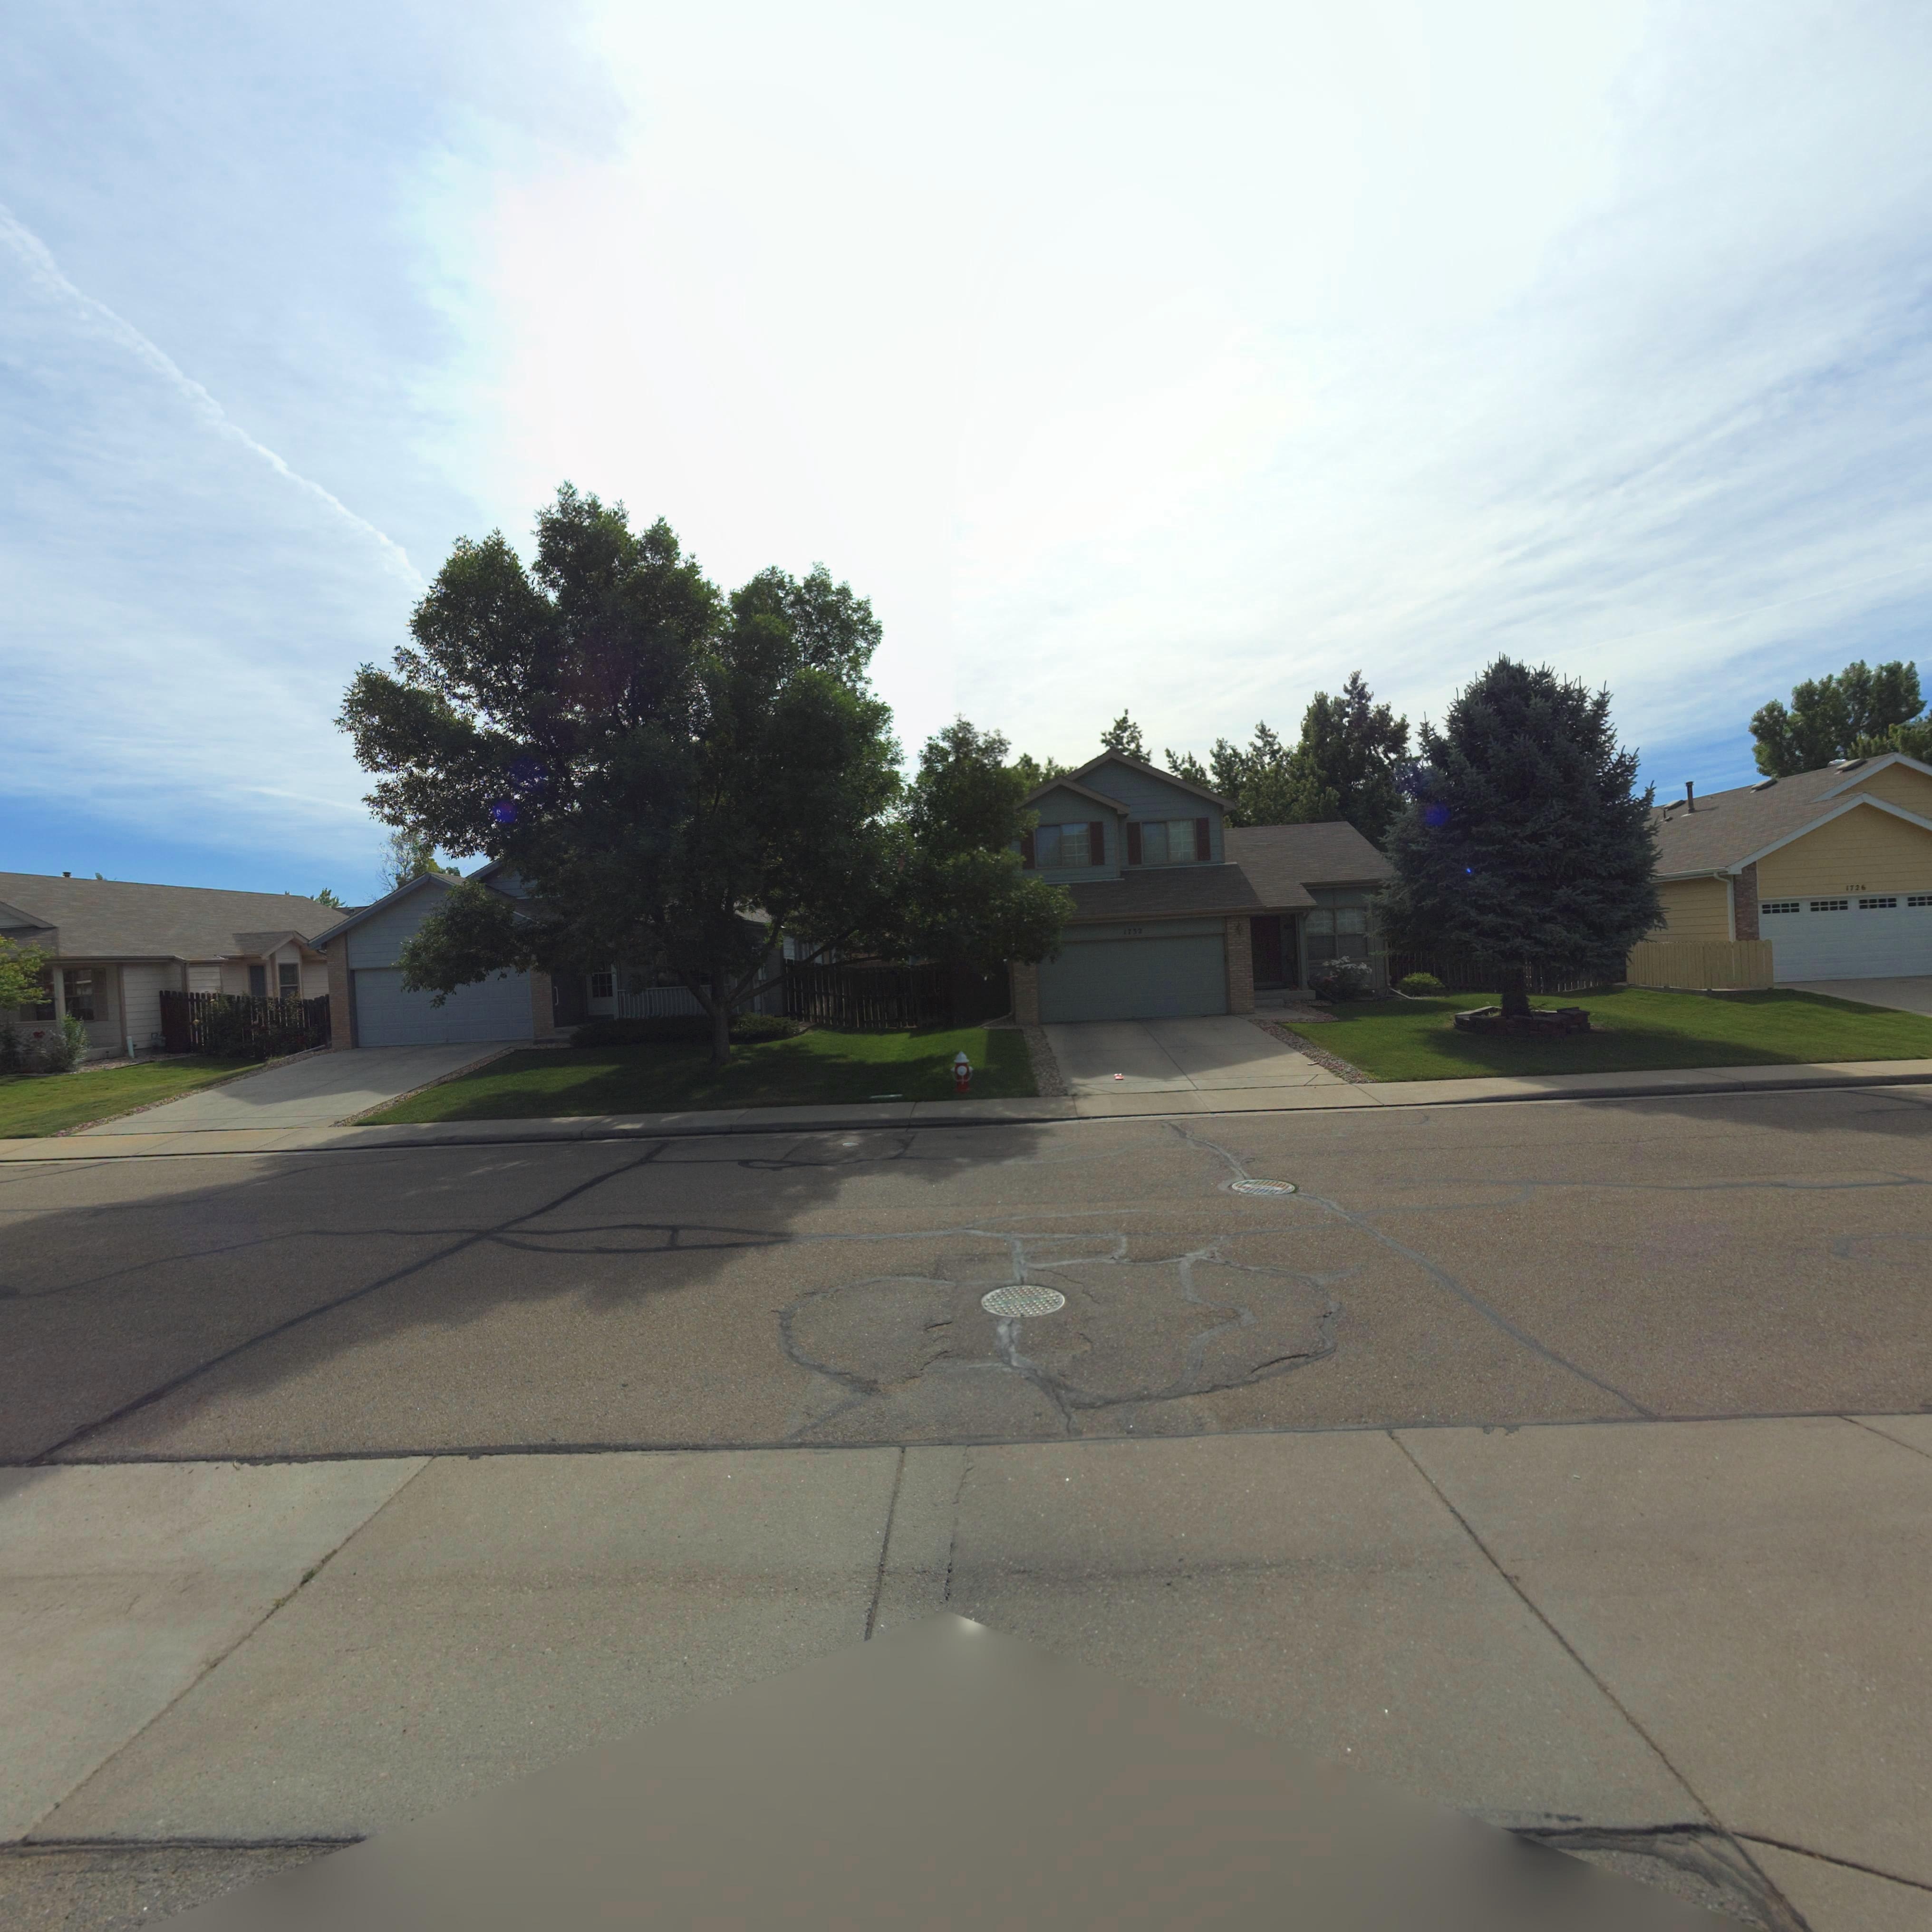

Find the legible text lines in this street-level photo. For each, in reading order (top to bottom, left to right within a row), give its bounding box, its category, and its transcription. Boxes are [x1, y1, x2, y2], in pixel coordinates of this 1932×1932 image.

[1846, 884, 1866, 891] StreetNumber: 1726
[1123, 927, 1142, 935] StreetNumber: 1732